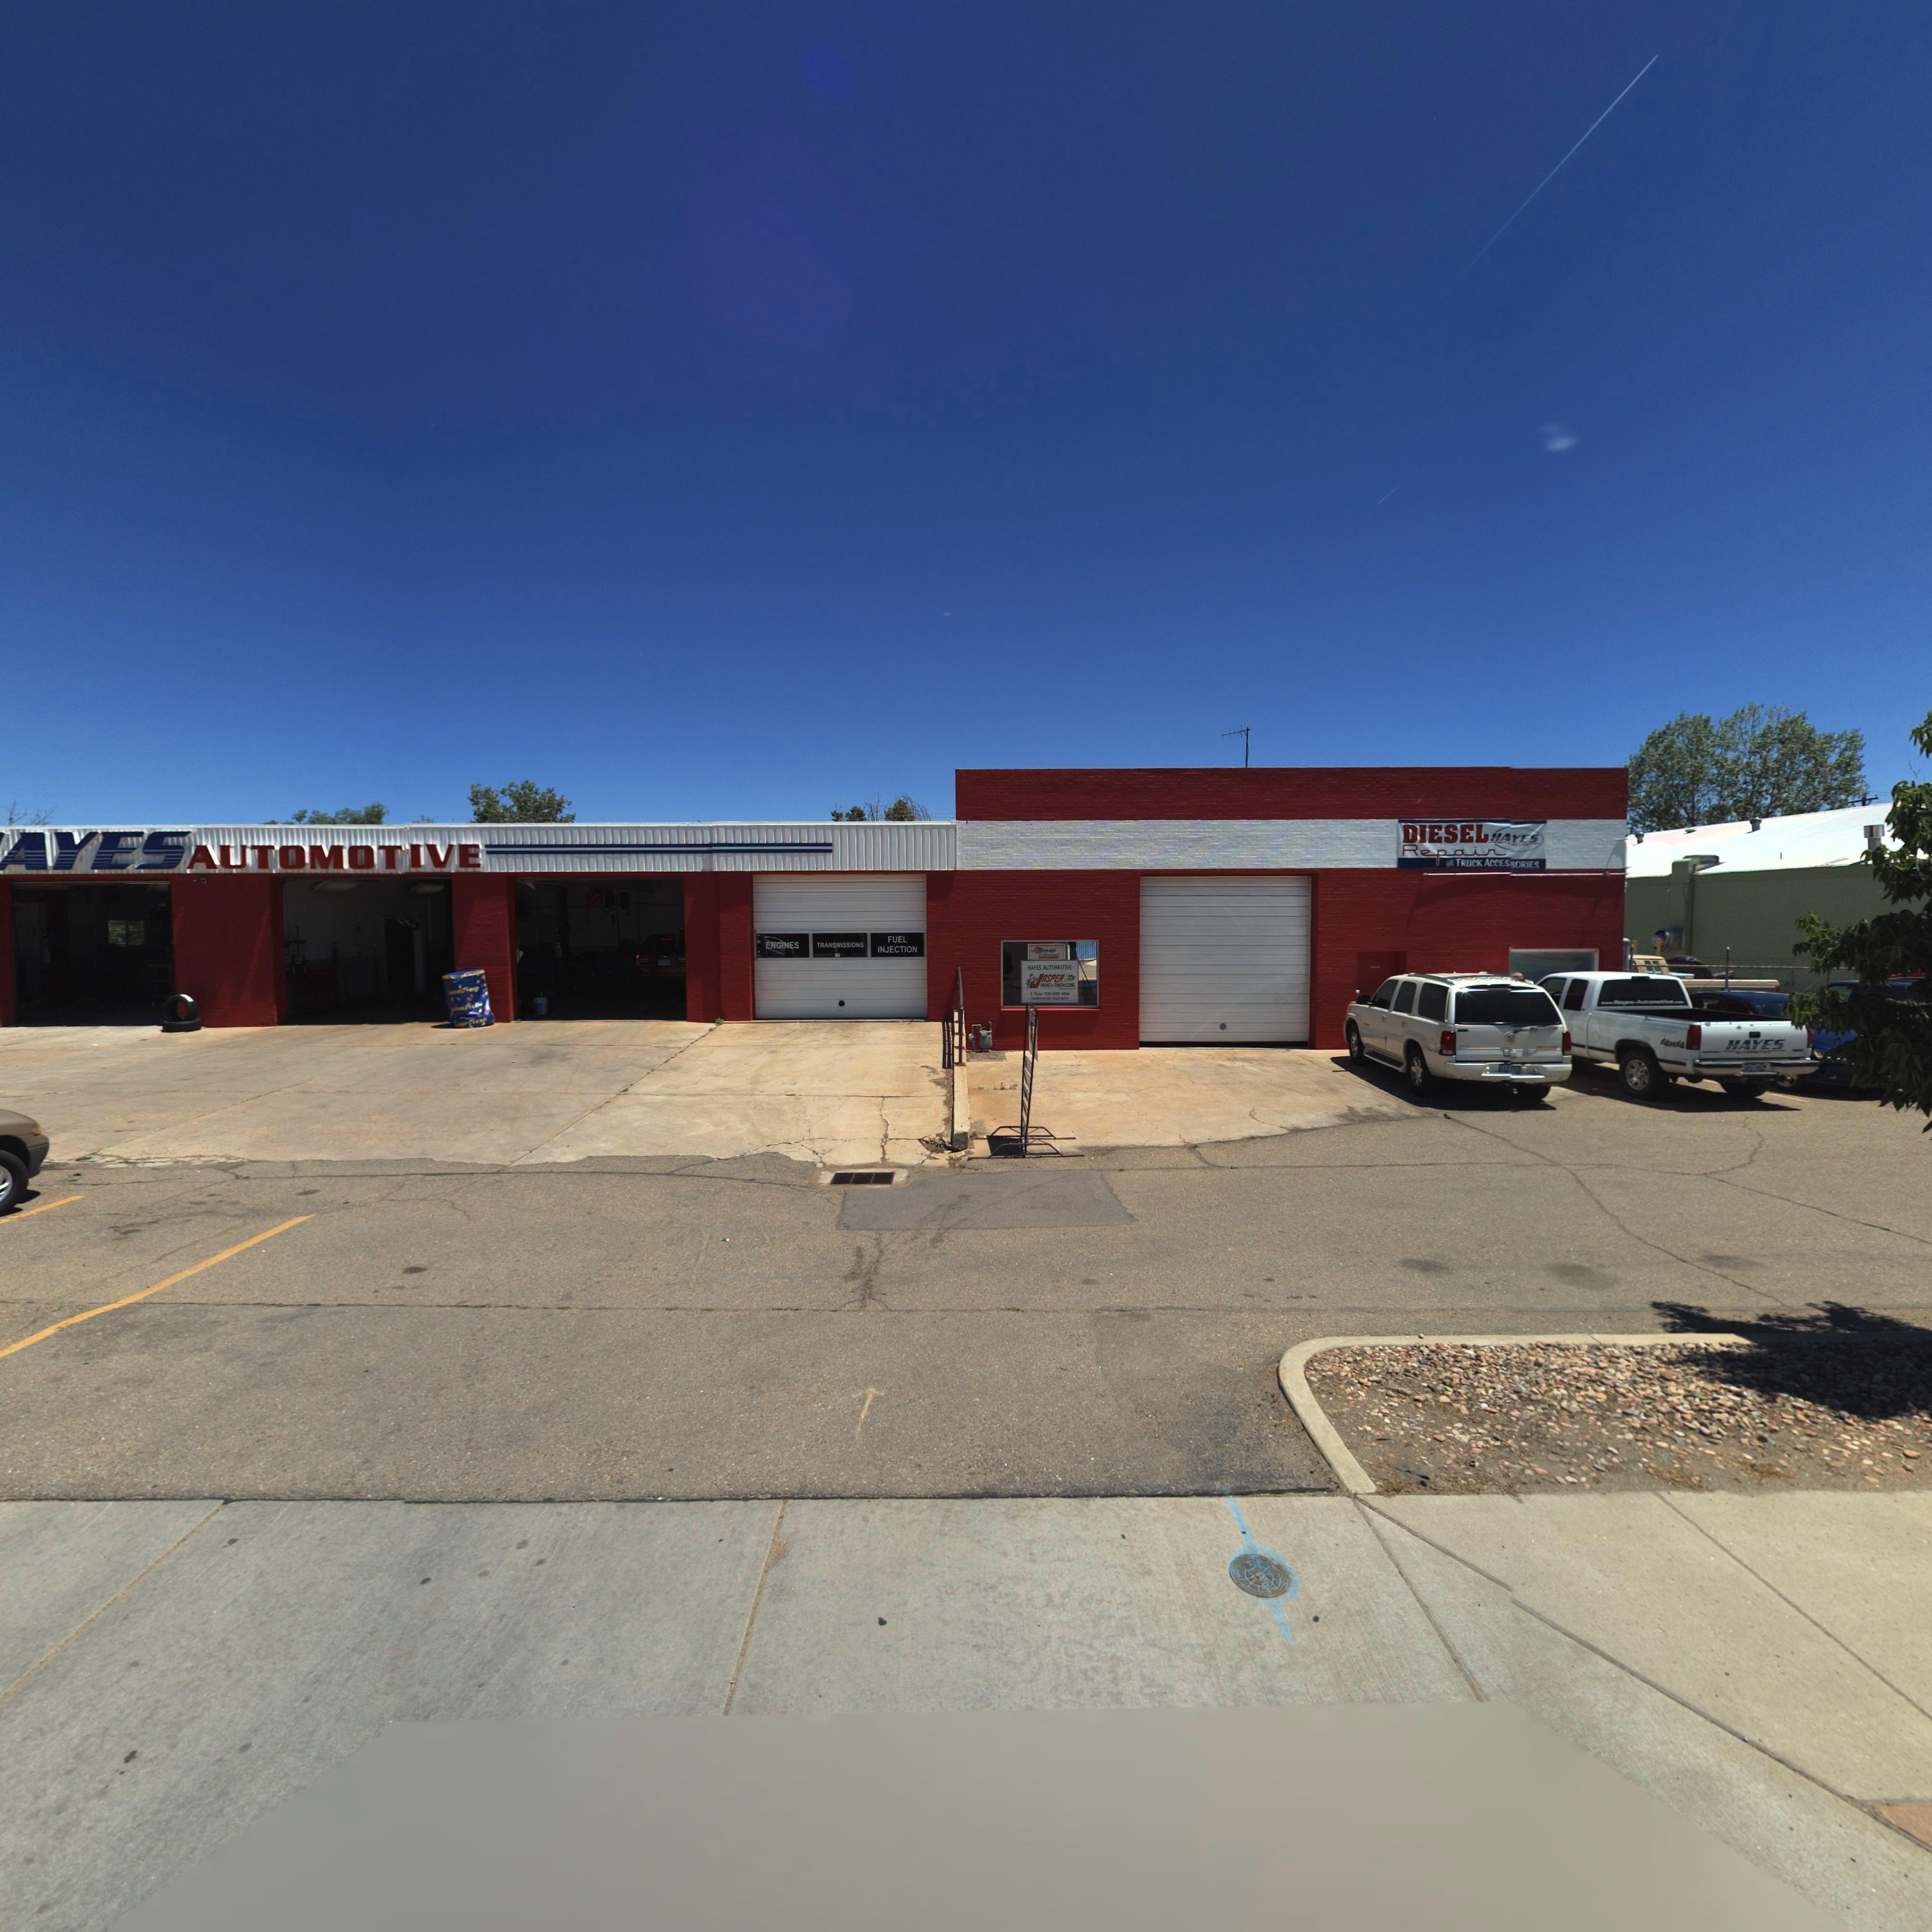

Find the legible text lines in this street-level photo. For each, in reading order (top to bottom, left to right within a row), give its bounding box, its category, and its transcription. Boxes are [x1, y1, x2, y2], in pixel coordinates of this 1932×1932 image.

[50, 830, 481, 869] BusinessName: YES AUTOMOTIVE
[1403, 824, 1488, 843] BusinessName: DIESEL
[1402, 844, 1507, 865] BusinessName: Repair
[1497, 841, 1510, 844] BusinessName: A*T*
[1489, 832, 1539, 842] BusinessName: HAYES
[1027, 964, 1072, 970] BusinessName: HAYES AUTOMOTIVE